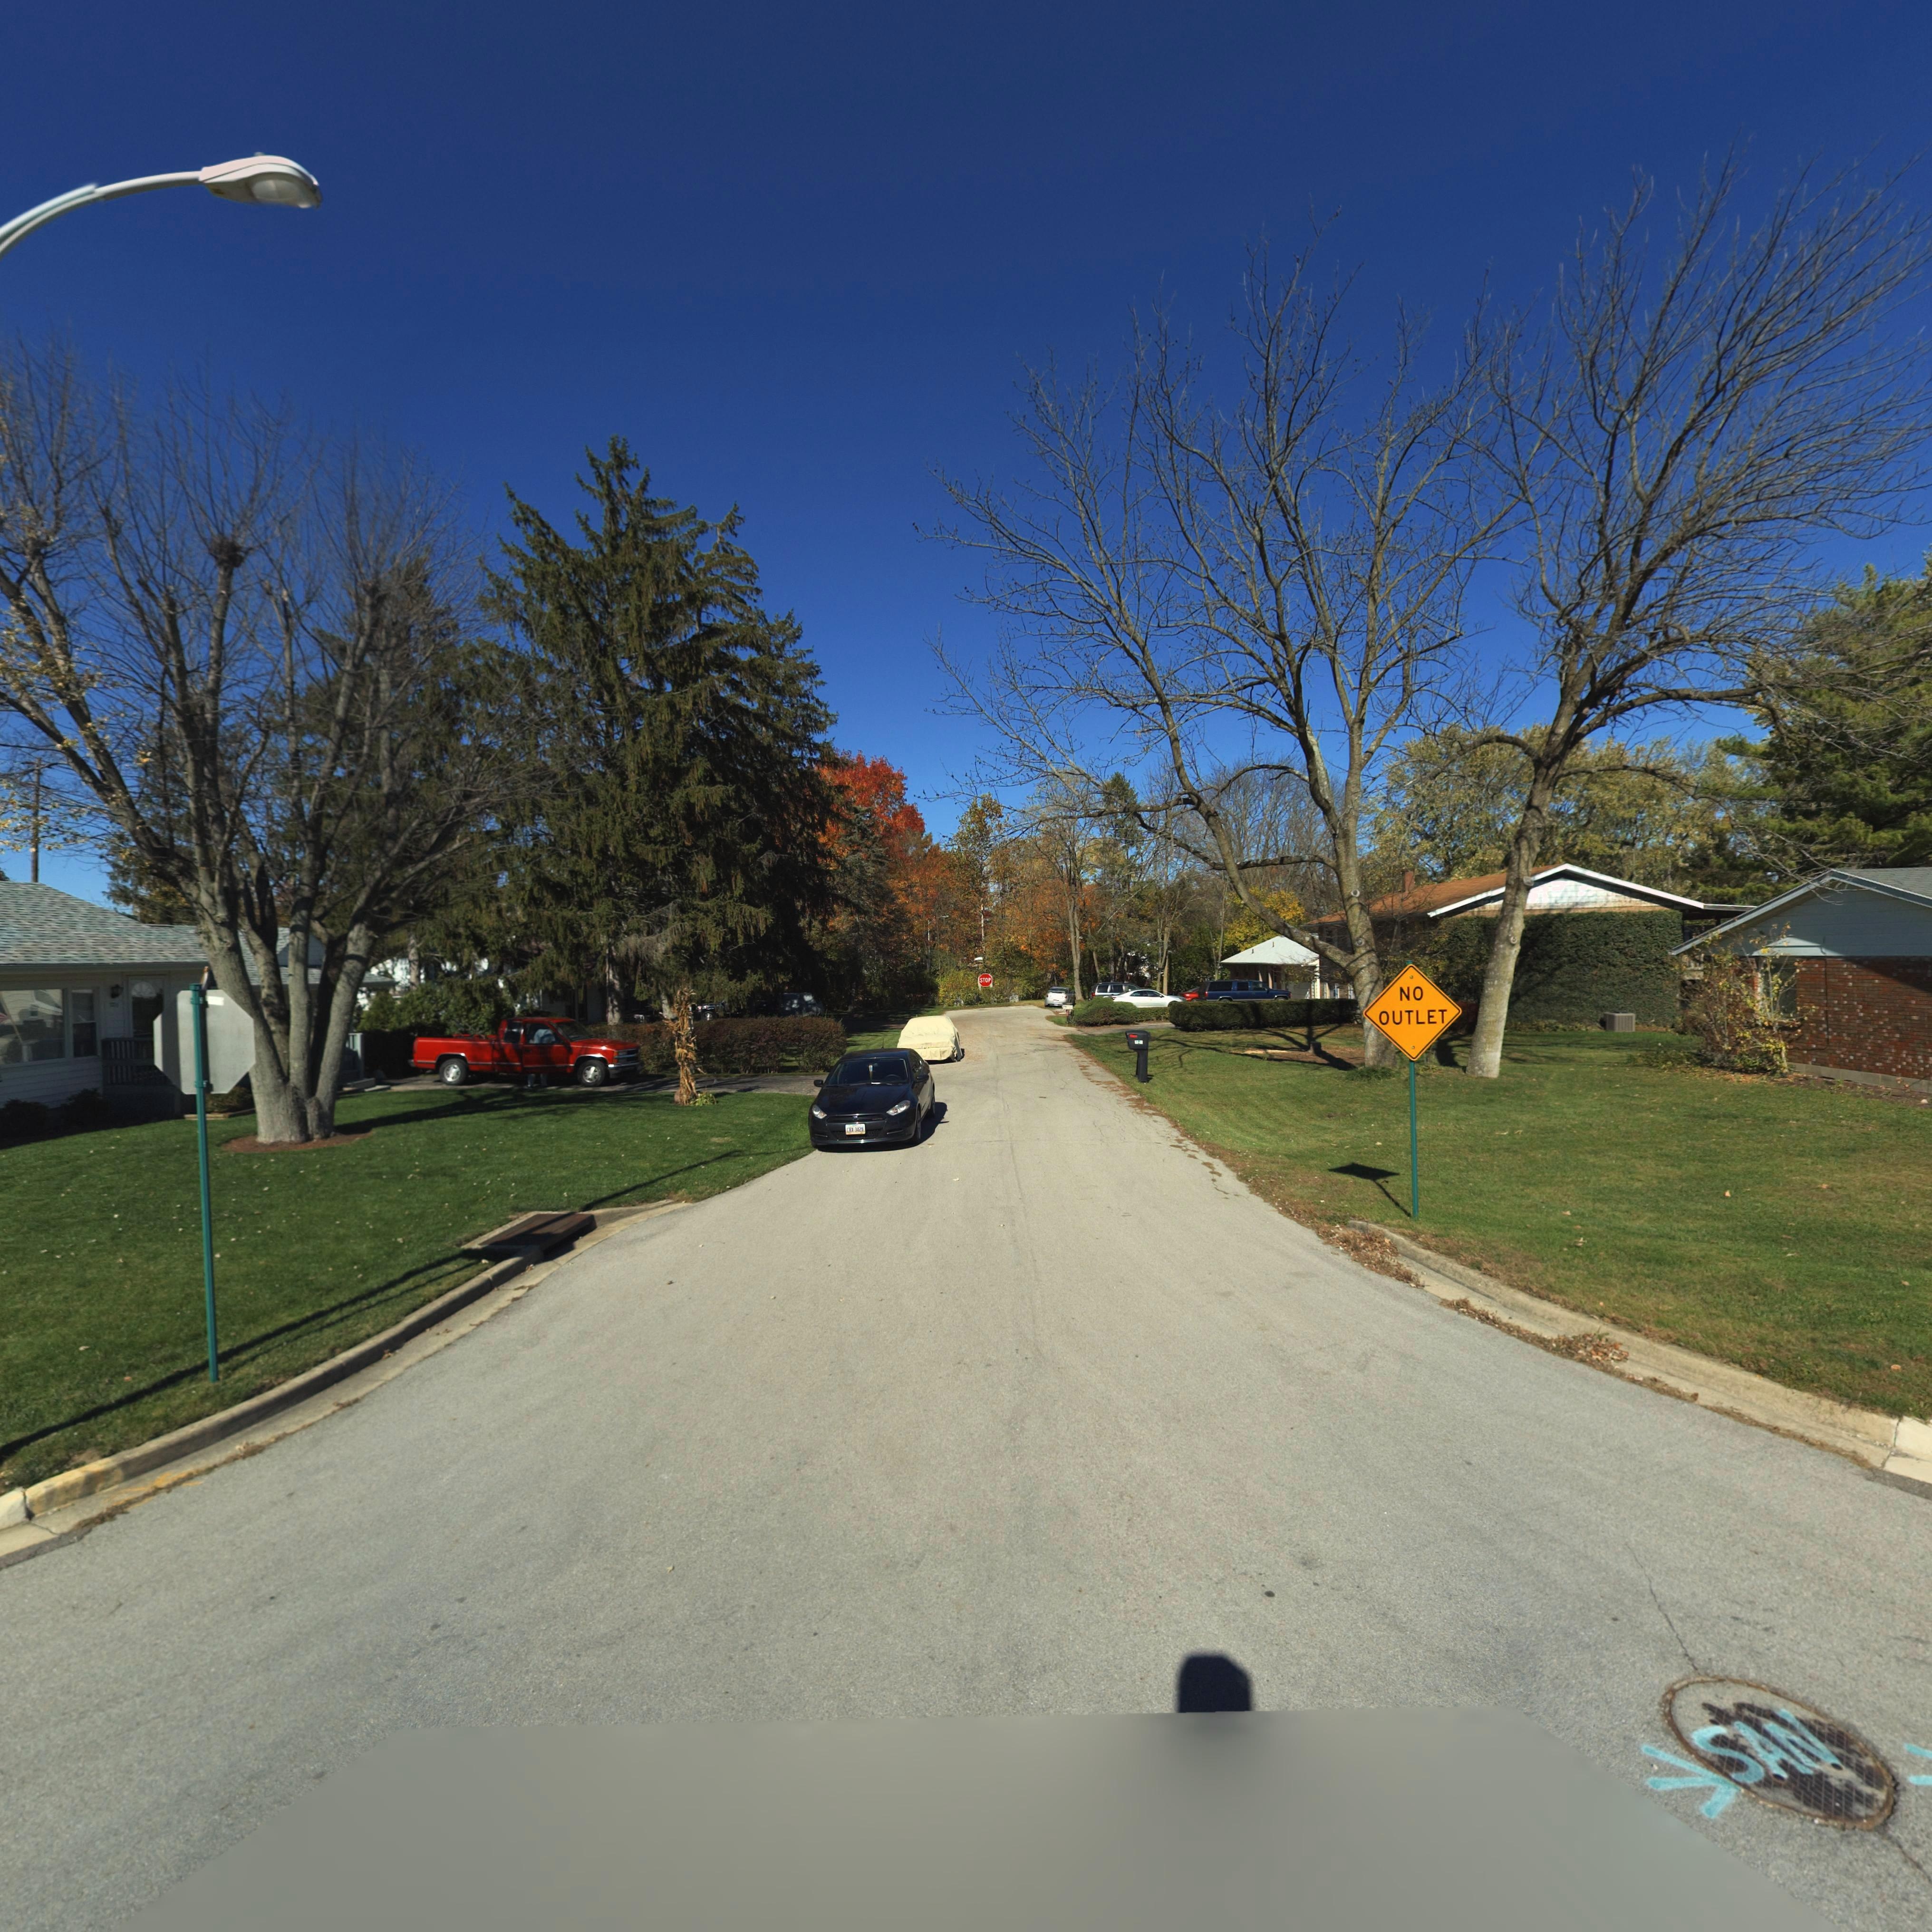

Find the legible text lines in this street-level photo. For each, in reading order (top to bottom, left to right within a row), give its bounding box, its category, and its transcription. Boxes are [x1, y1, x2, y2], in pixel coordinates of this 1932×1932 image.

[1138, 1040, 1140, 1044] StreetNumber: 2